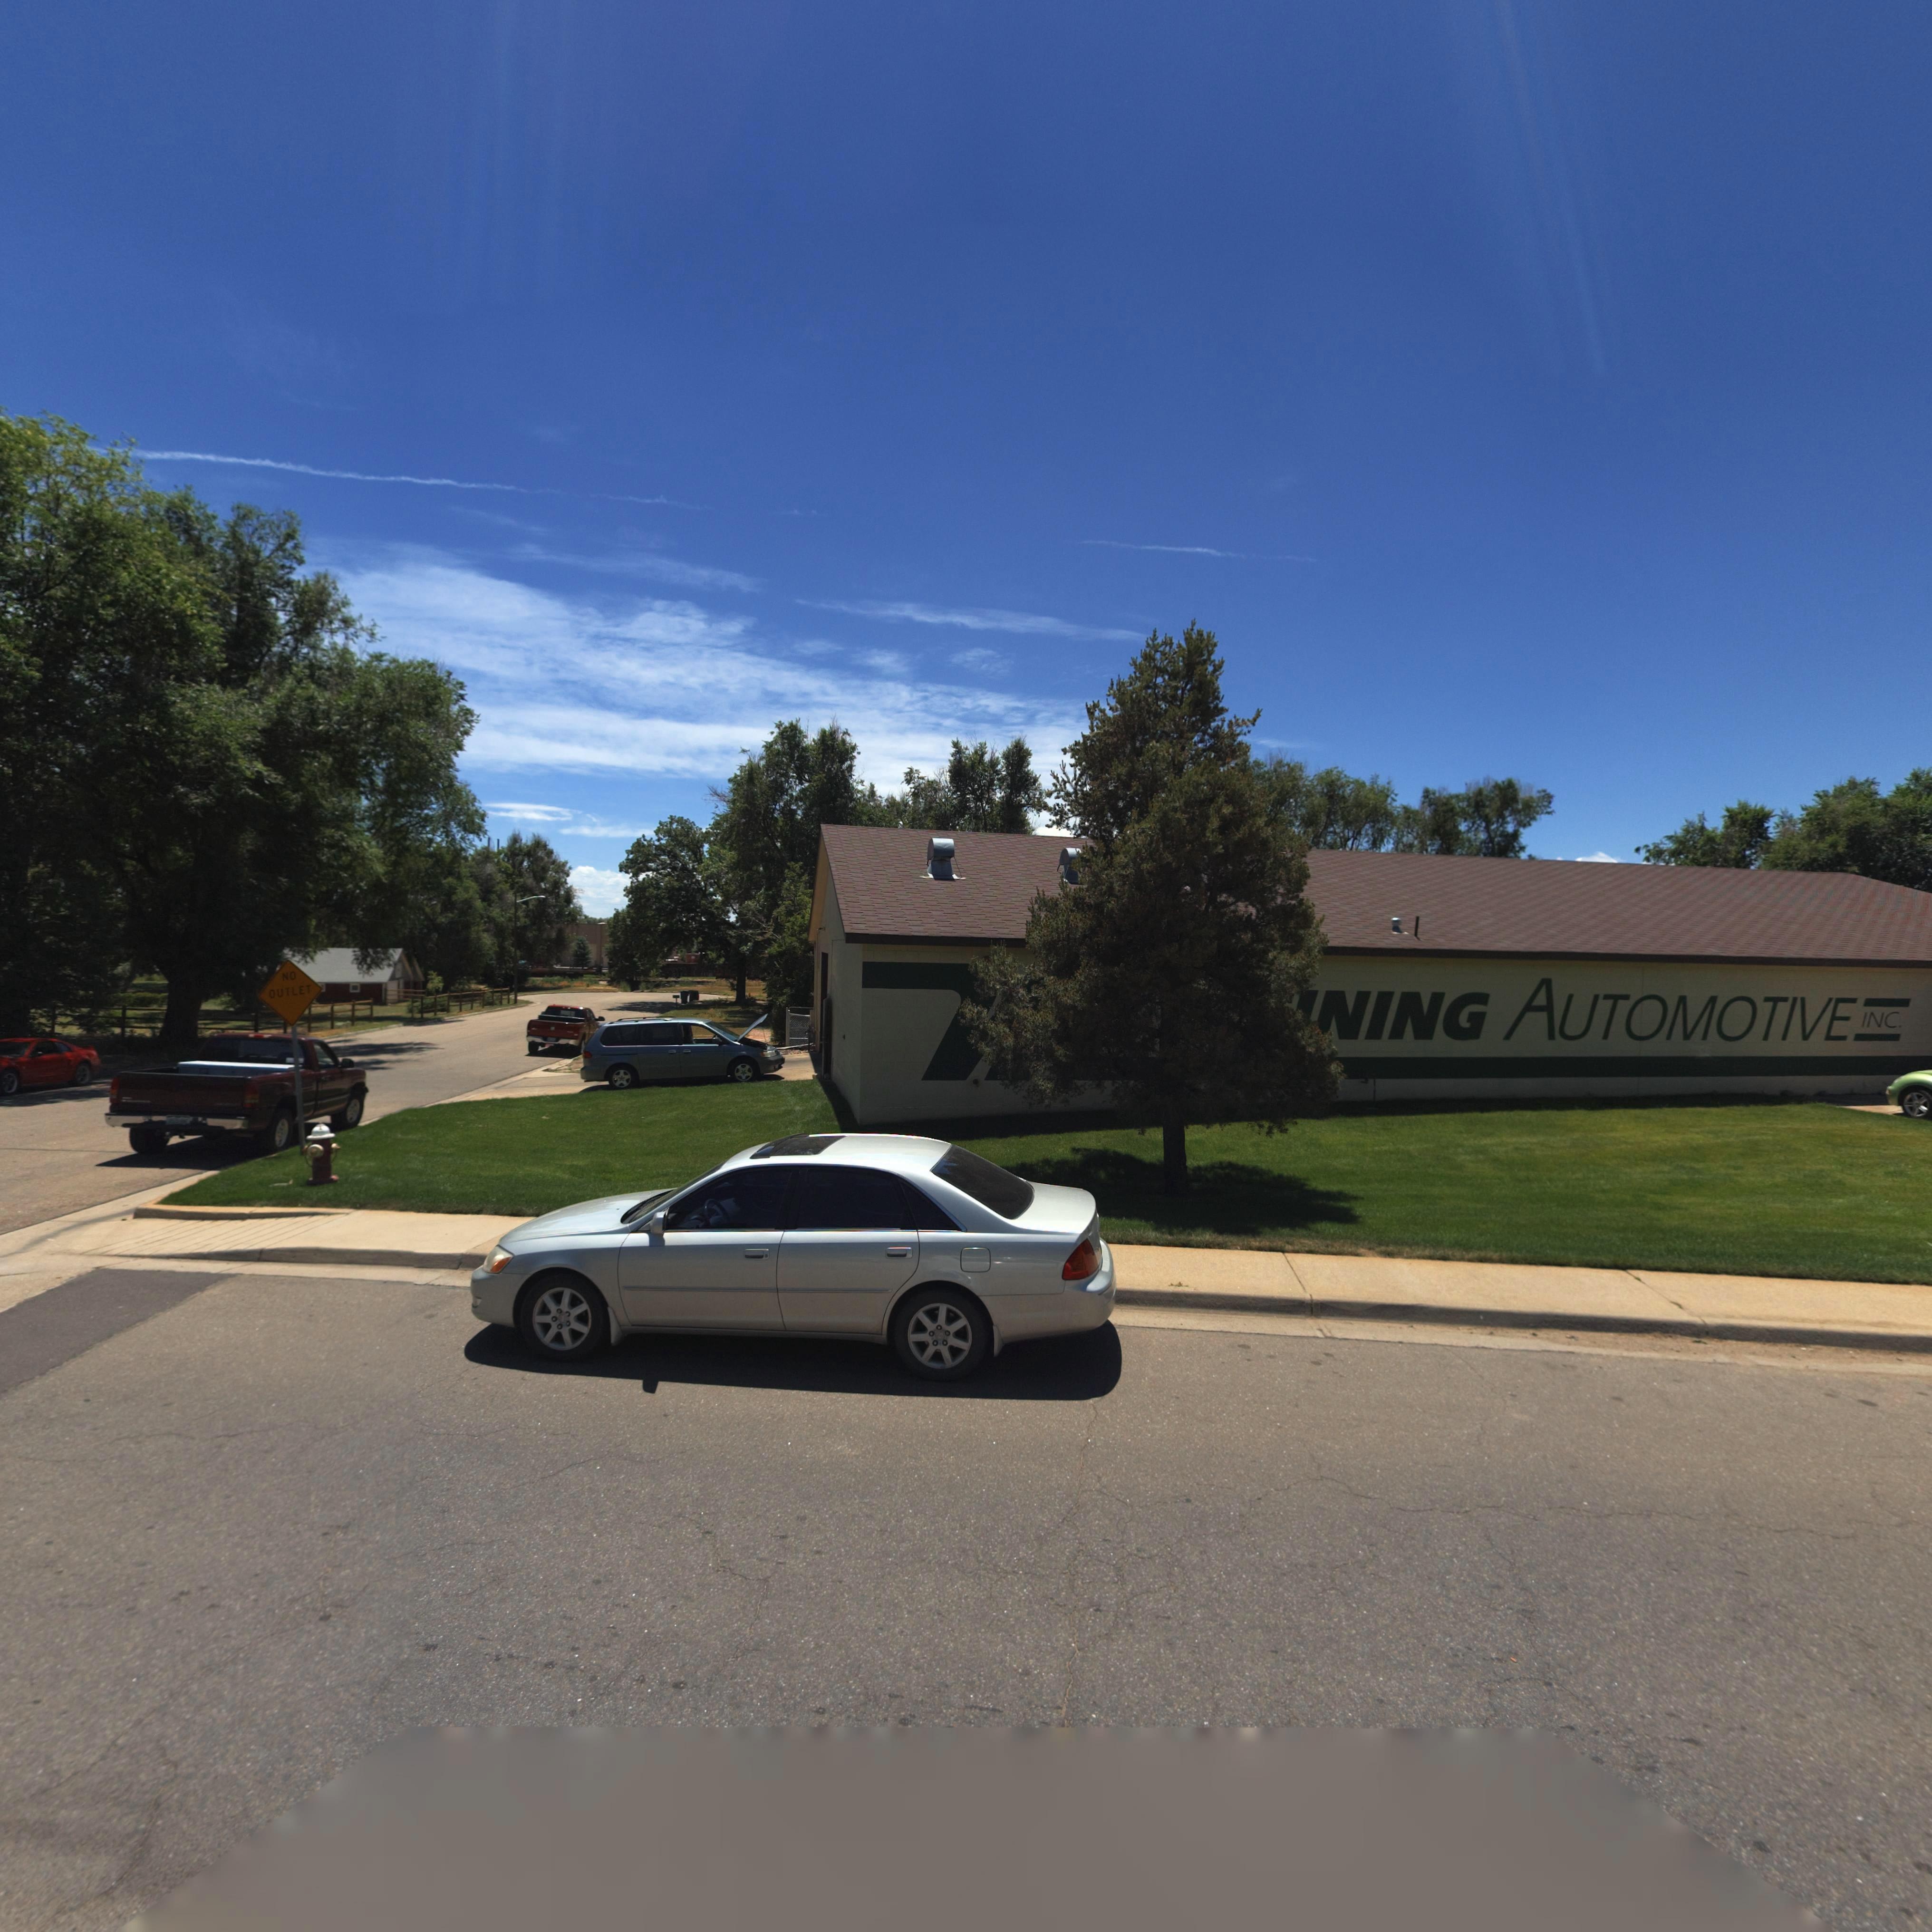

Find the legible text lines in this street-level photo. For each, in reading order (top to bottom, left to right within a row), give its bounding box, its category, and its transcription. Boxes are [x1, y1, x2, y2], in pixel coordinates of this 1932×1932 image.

[1288, 989, 1491, 1040] BusinessName: INING
[1502, 976, 1858, 1041] BusinessName: AUTOMOTIVE
[1859, 1010, 1902, 1028] BusinessName: INC.